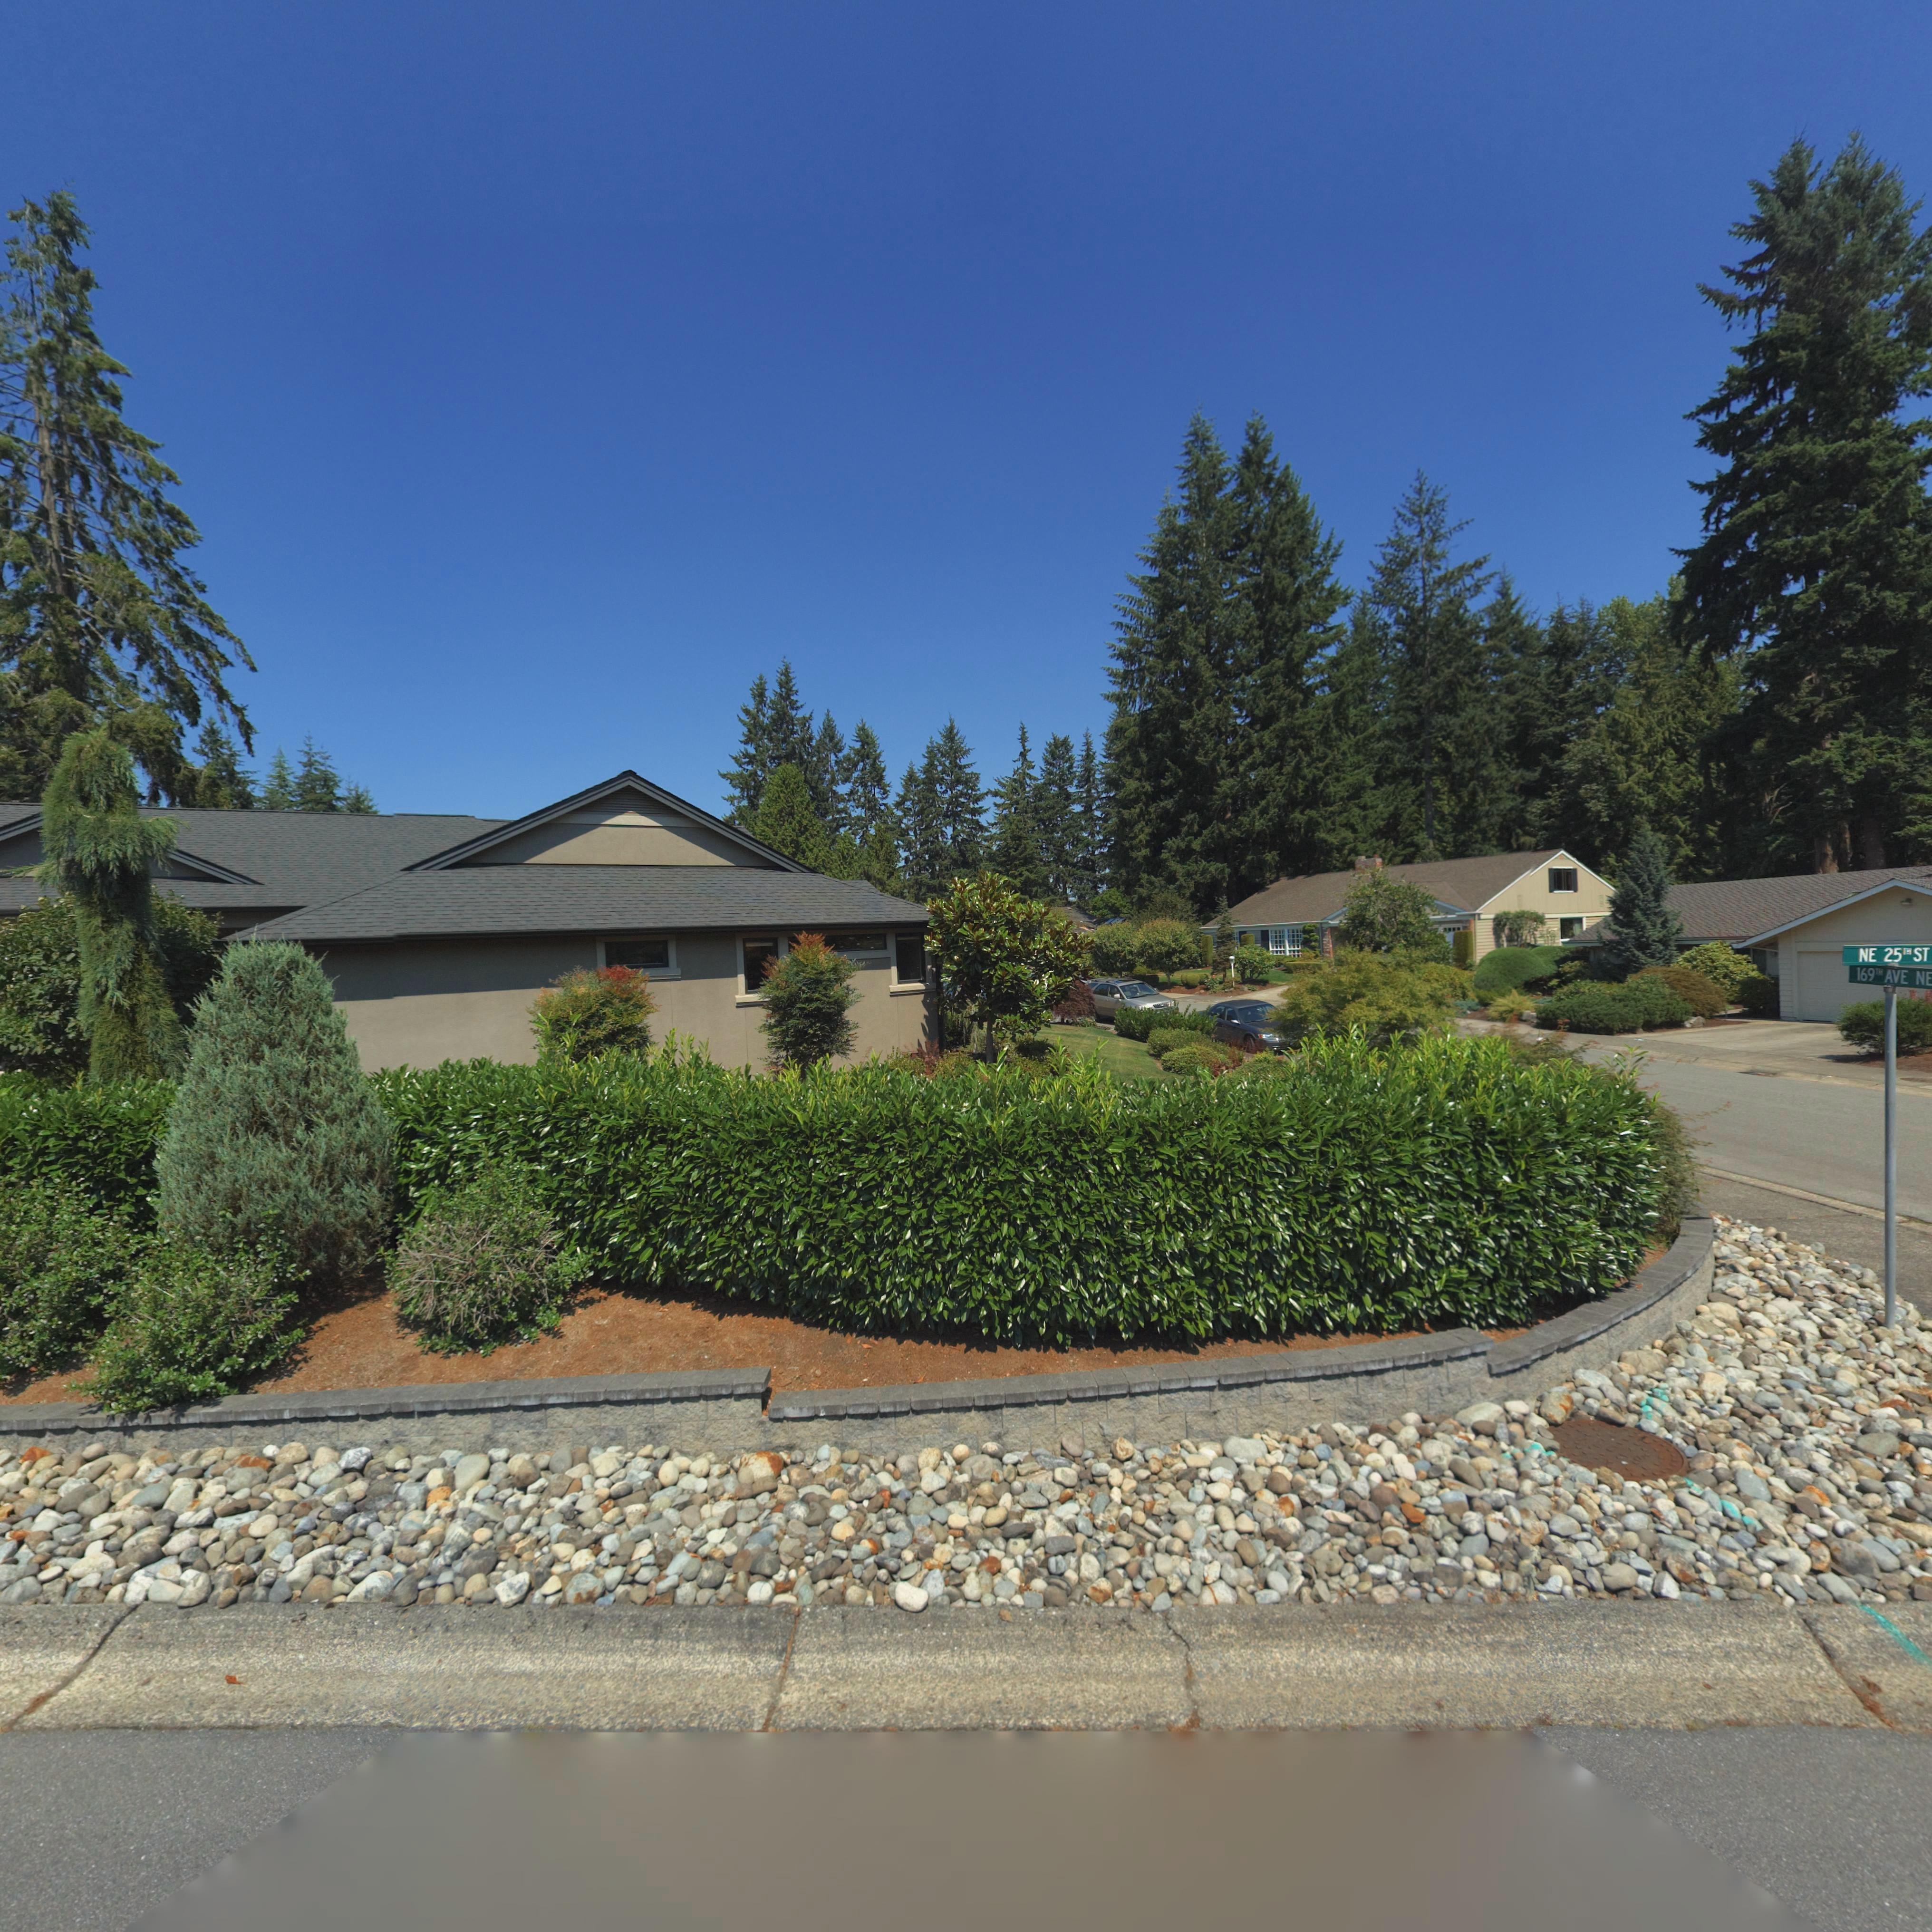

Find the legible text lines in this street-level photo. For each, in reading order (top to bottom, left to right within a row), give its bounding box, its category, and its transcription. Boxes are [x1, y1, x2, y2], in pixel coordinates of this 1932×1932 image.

[1858, 946, 1931, 963] StreetName: NE 25** ST
[1856, 967, 1925, 986] StreetName: 169** AVE N